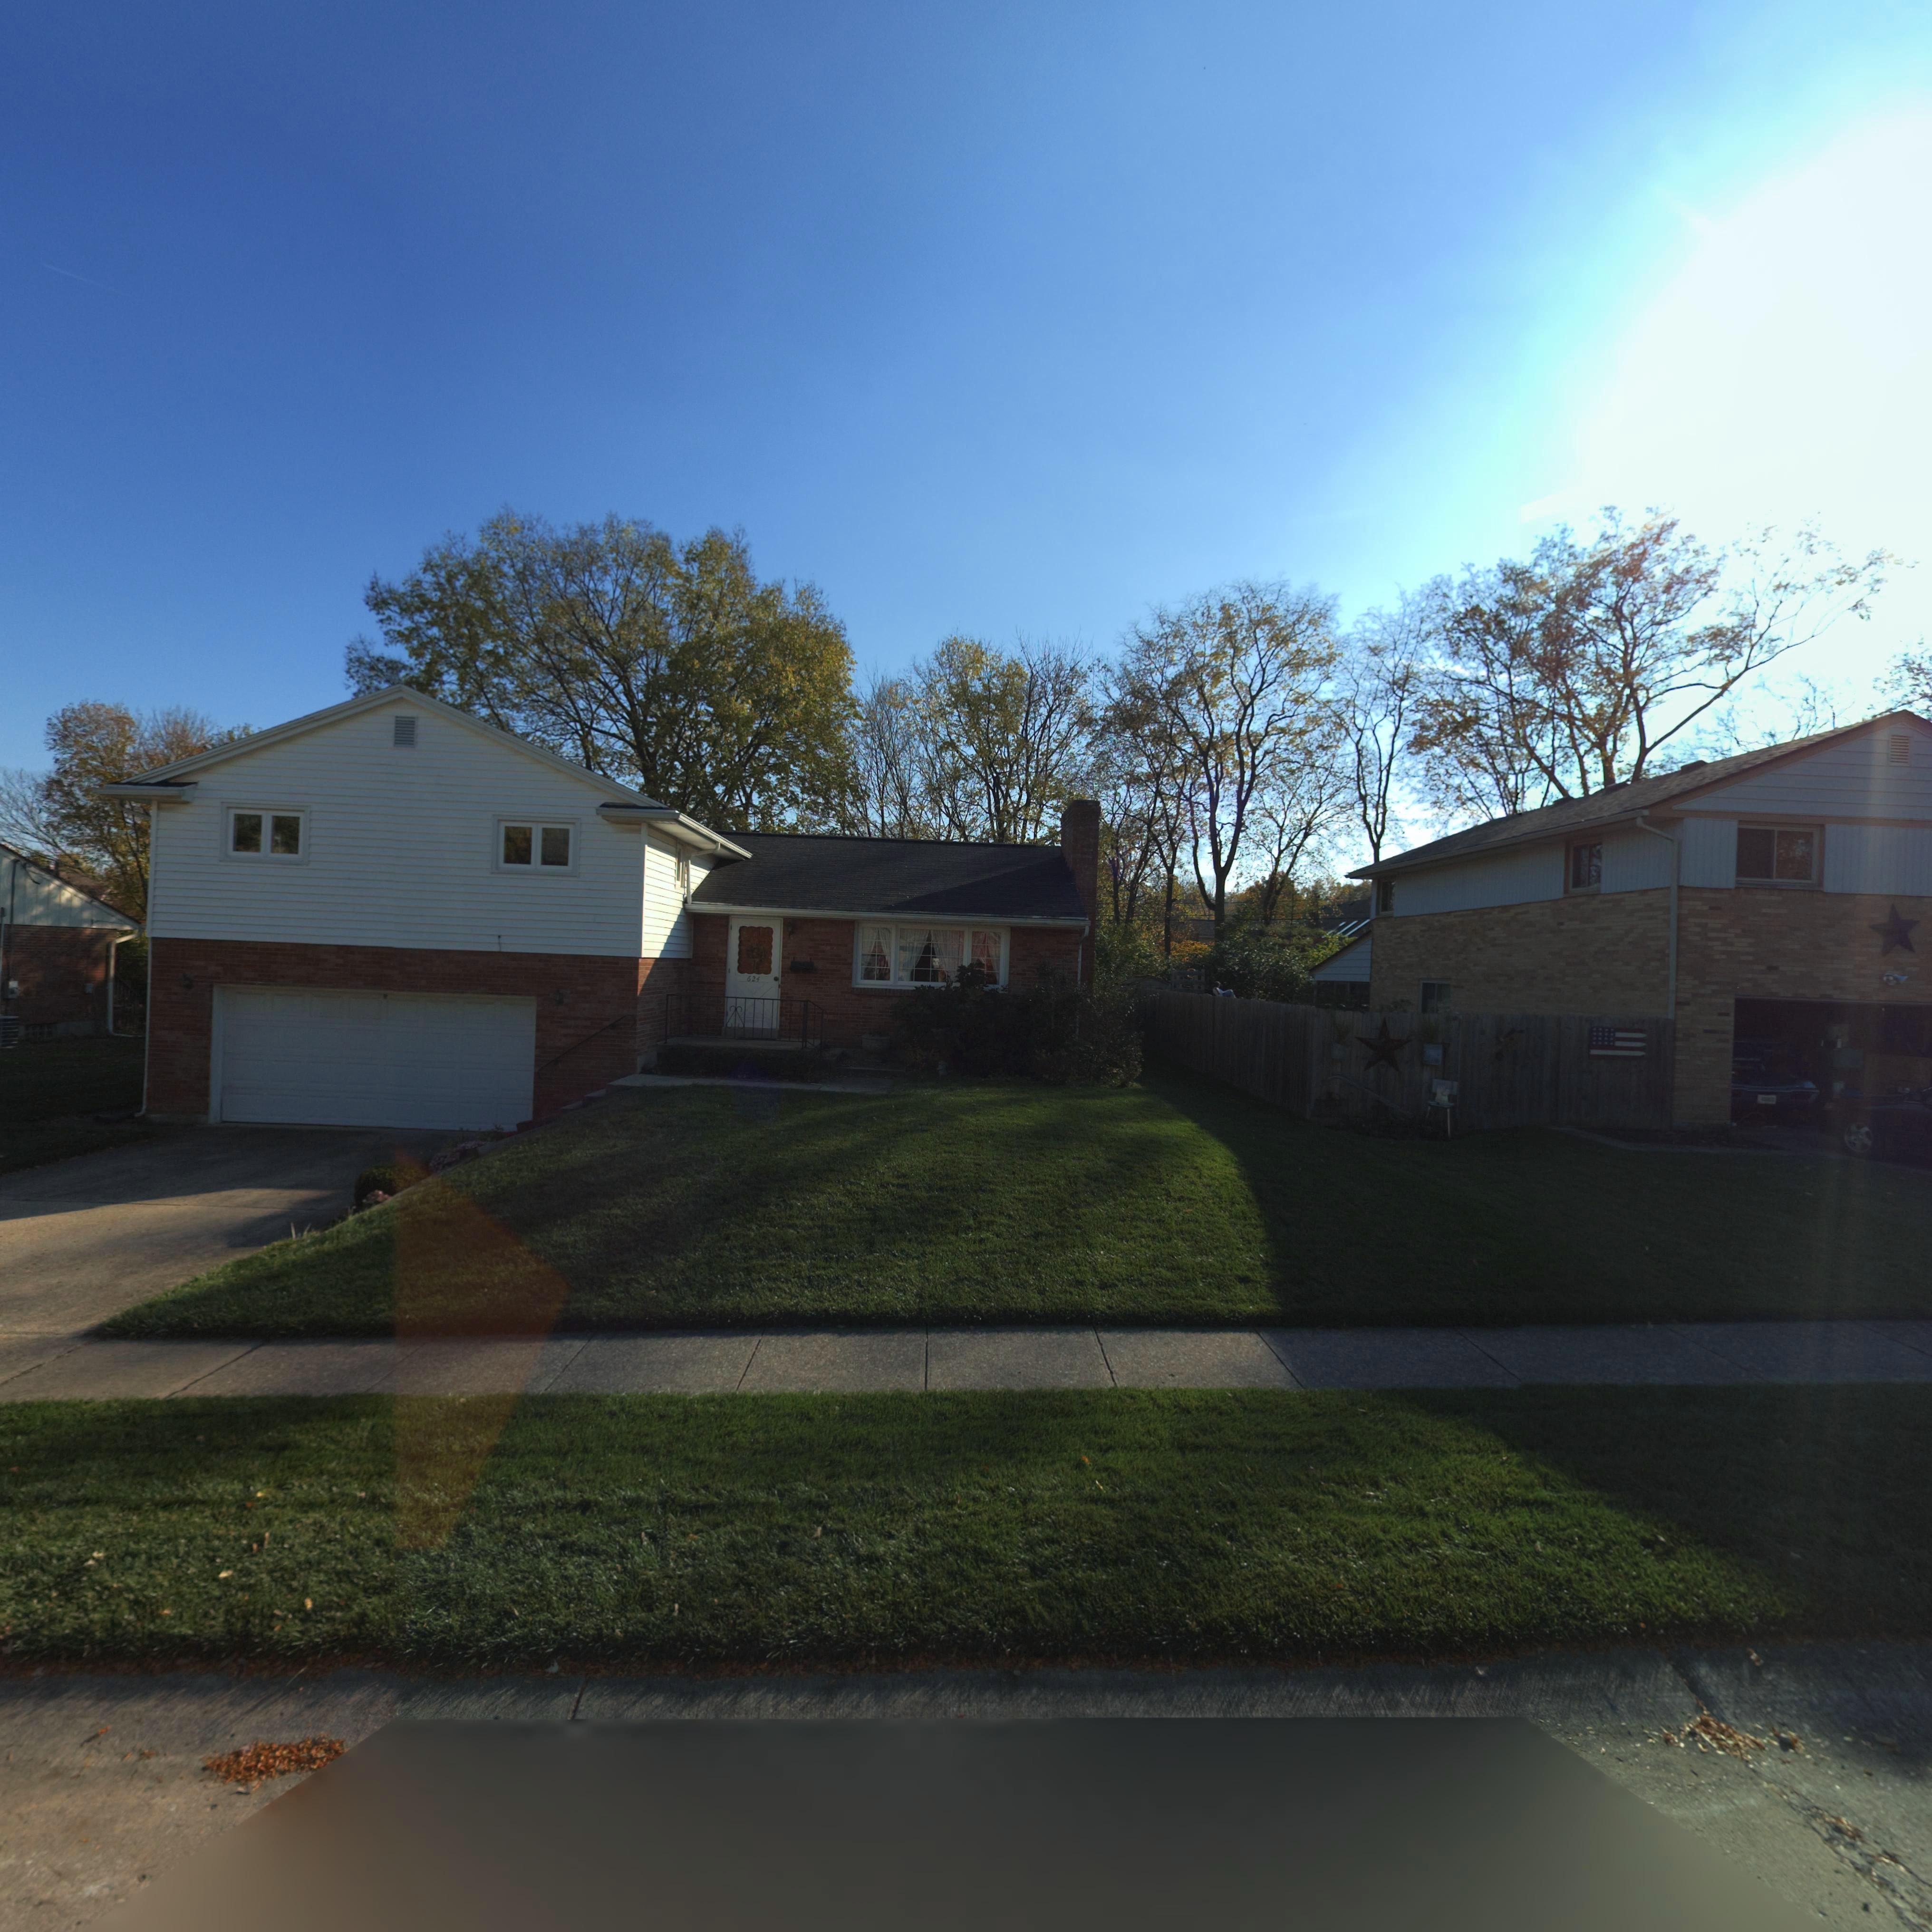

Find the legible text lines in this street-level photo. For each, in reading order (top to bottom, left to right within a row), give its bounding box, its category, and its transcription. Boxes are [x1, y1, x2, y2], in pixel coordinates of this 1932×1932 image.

[746, 975, 761, 982] StreetNumber: 624